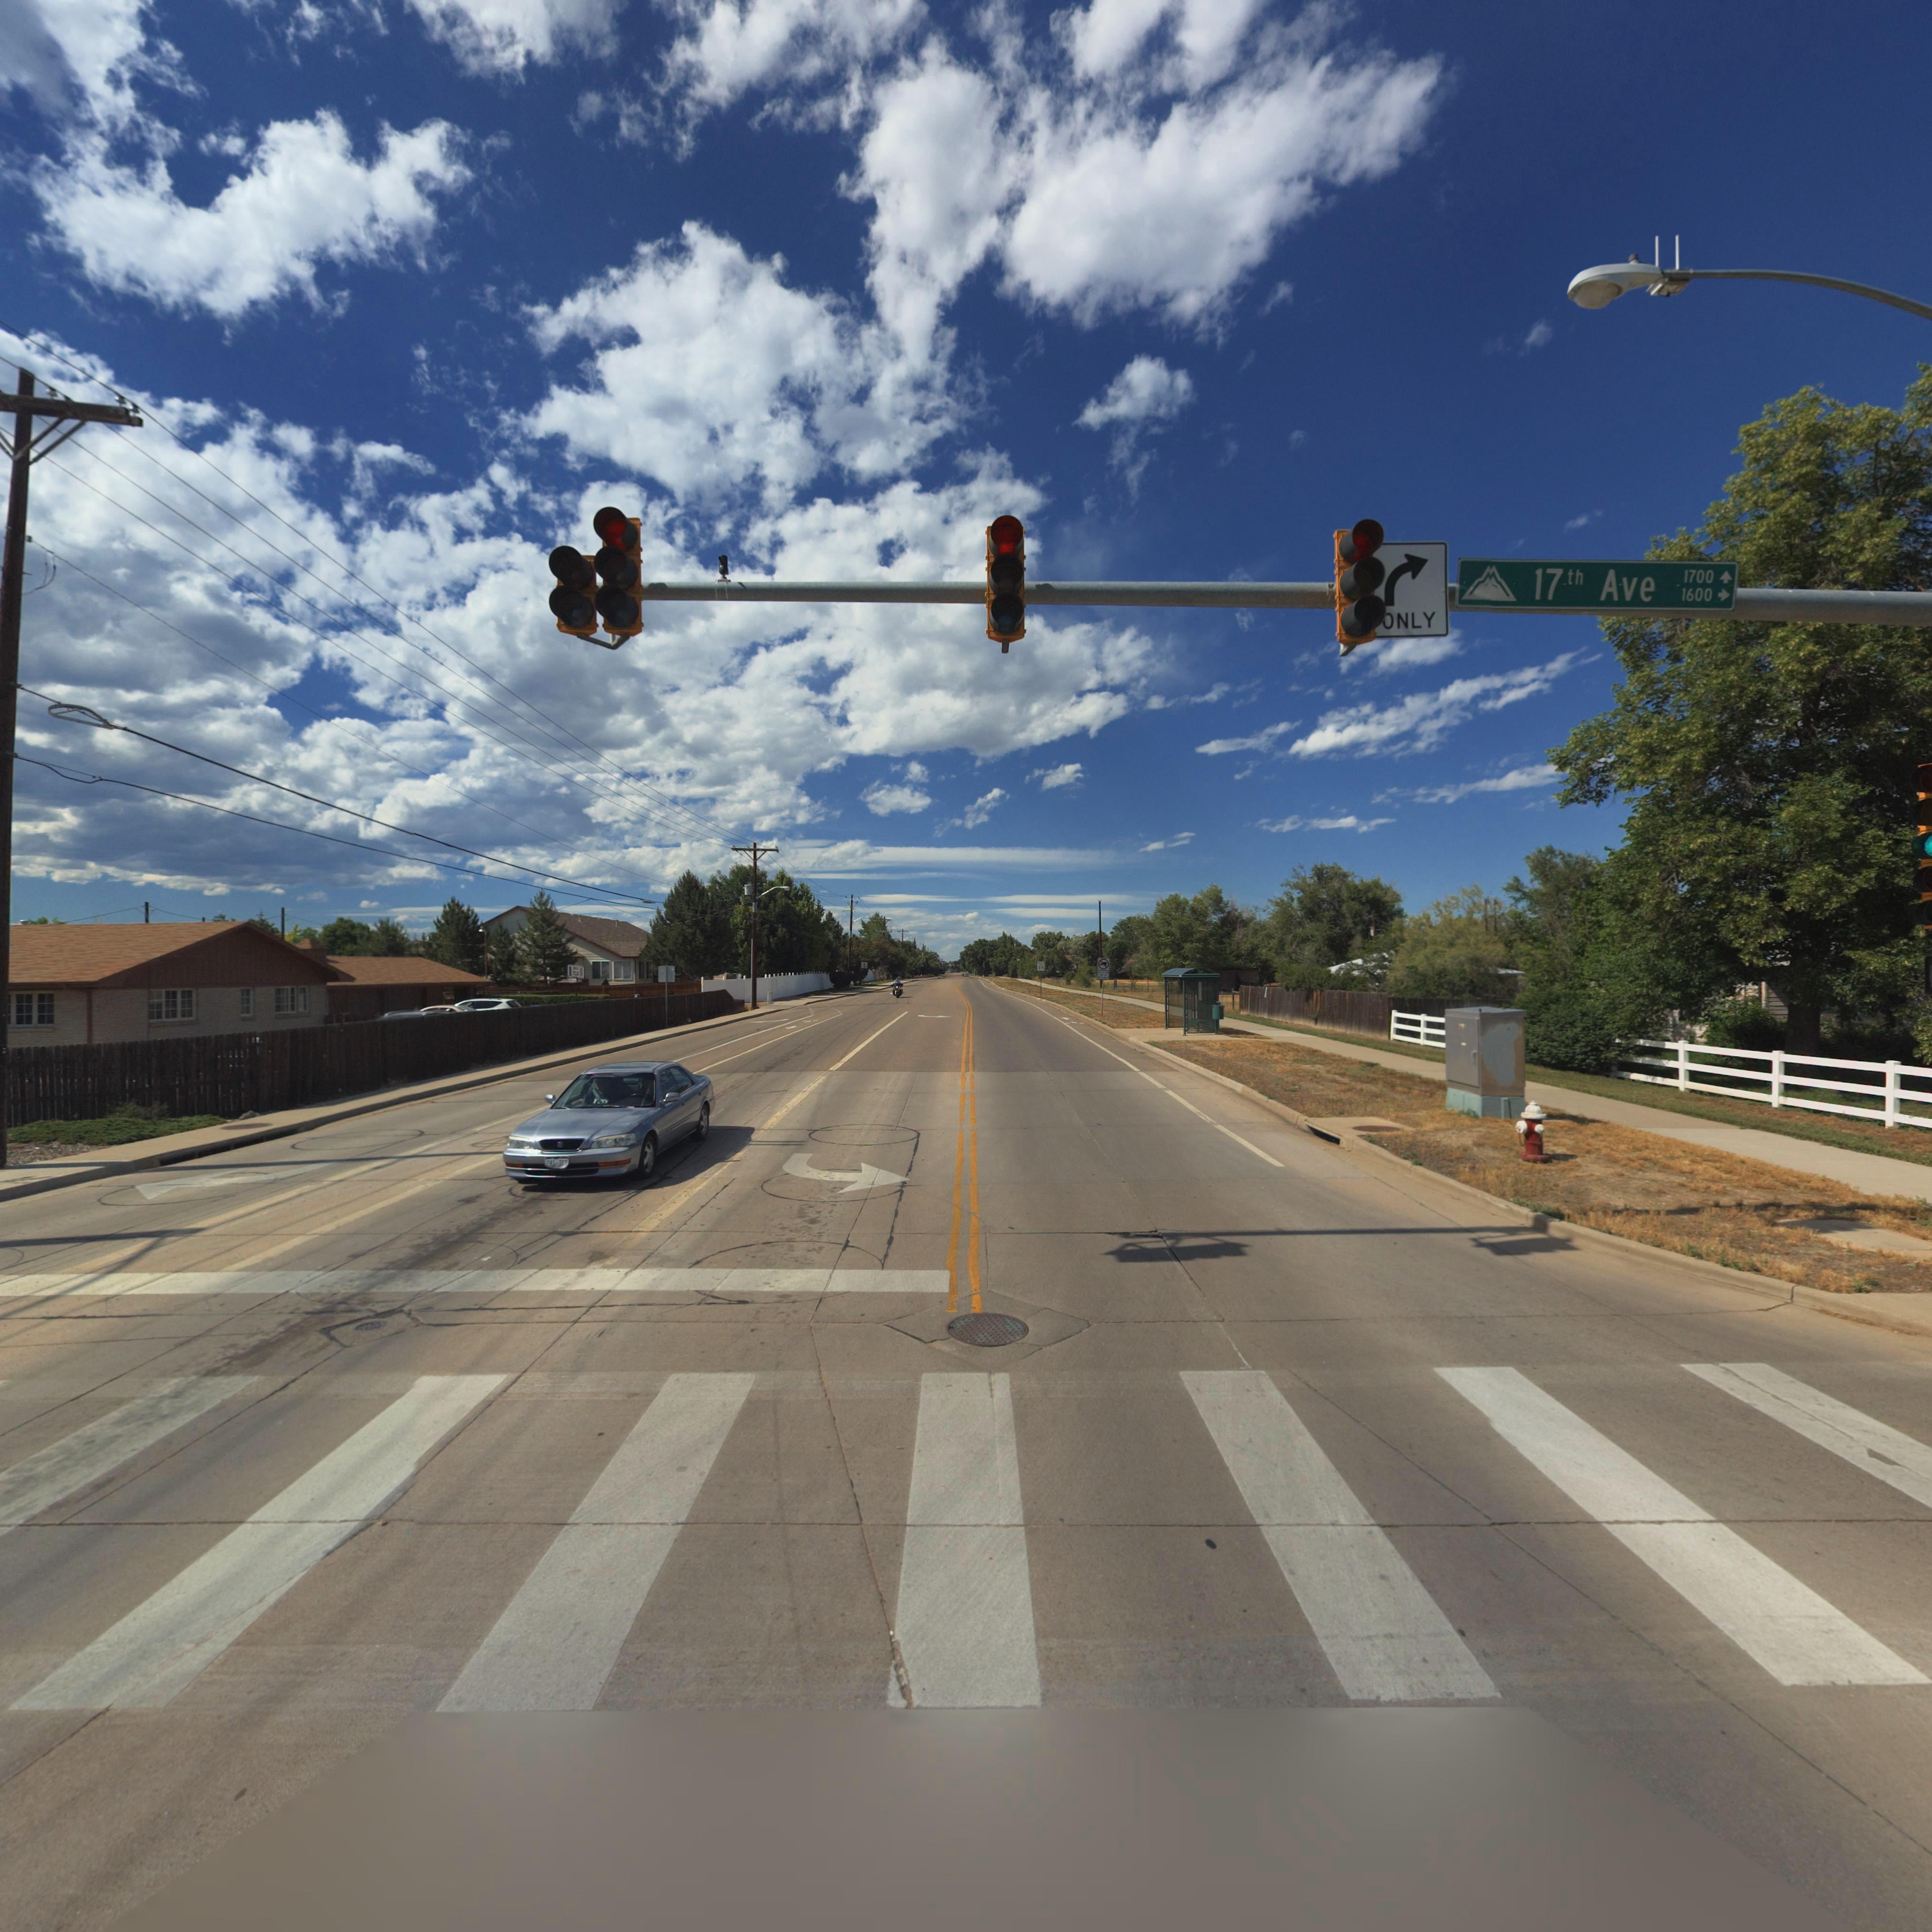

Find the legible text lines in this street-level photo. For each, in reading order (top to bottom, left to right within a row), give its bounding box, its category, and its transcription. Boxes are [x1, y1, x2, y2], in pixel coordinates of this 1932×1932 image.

[1683, 569, 1714, 584] StreetNumberRange: 1700
[1534, 567, 1656, 603] StreetName: 17th Ave
[1681, 587, 1732, 602] StreetNumberRange: 1600->